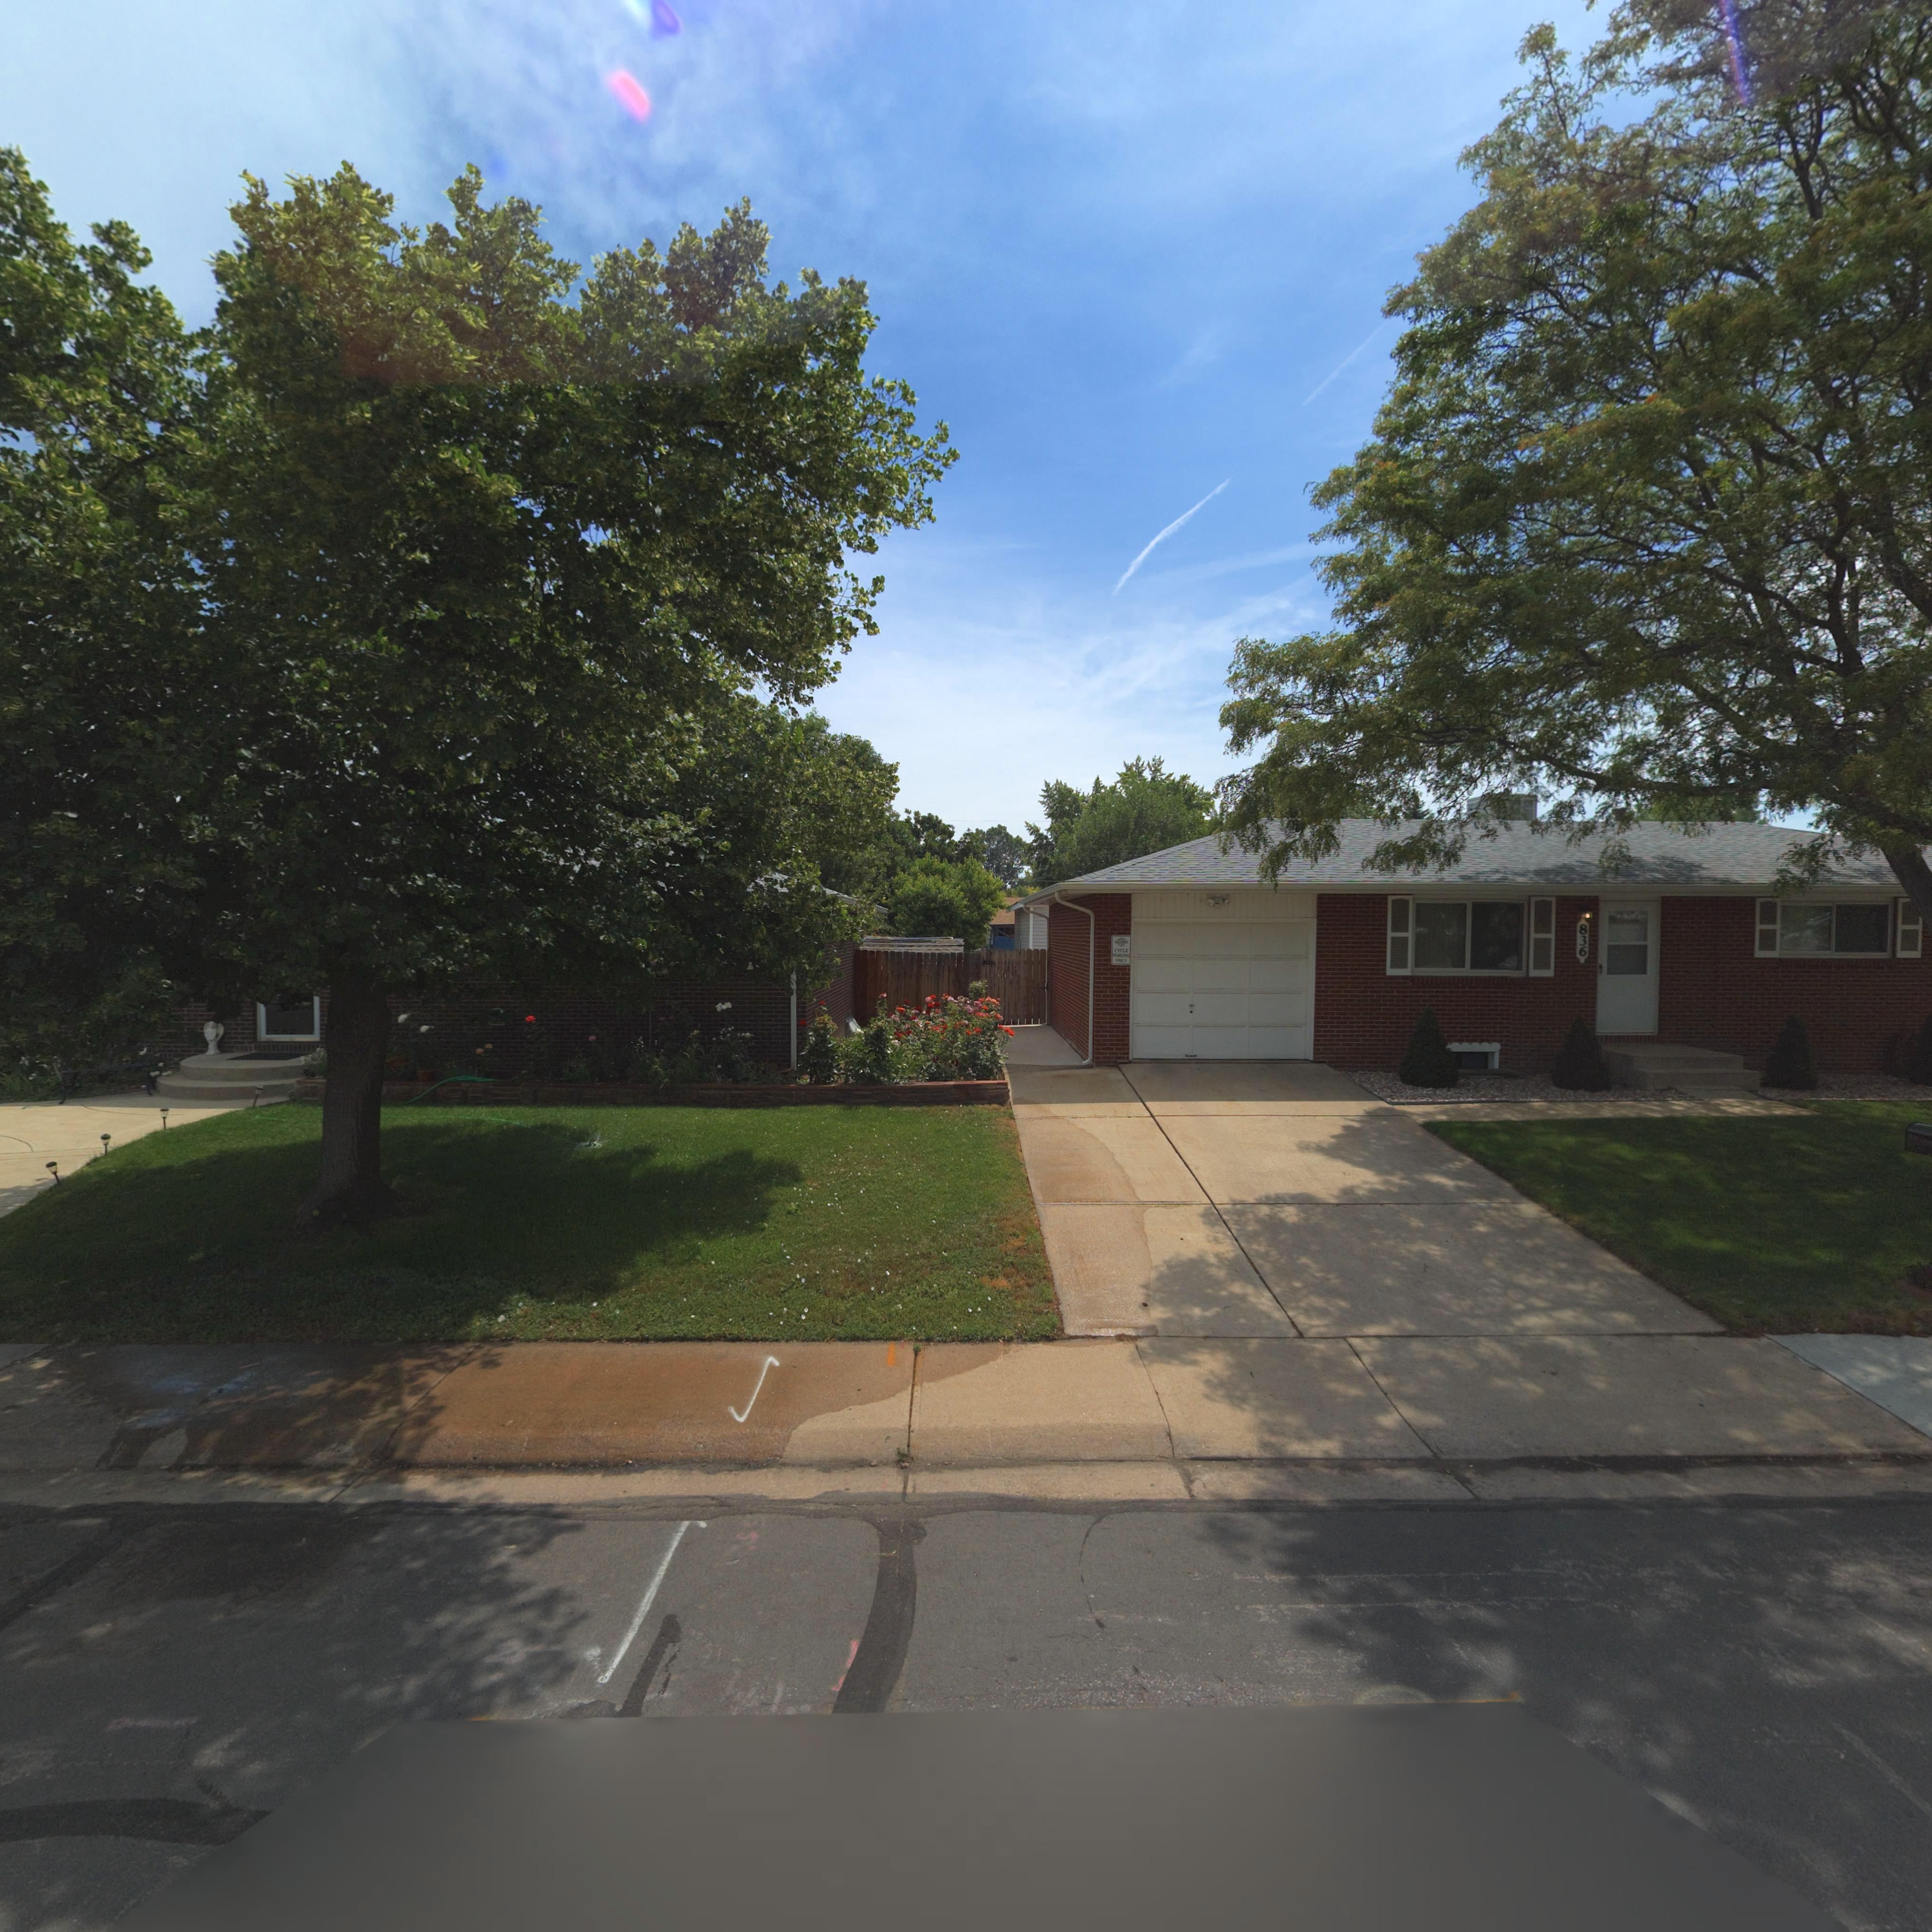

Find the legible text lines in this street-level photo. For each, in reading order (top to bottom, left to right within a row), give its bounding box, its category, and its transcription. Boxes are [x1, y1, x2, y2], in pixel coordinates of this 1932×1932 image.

[1578, 923, 1587, 956] StreetNumber: 836